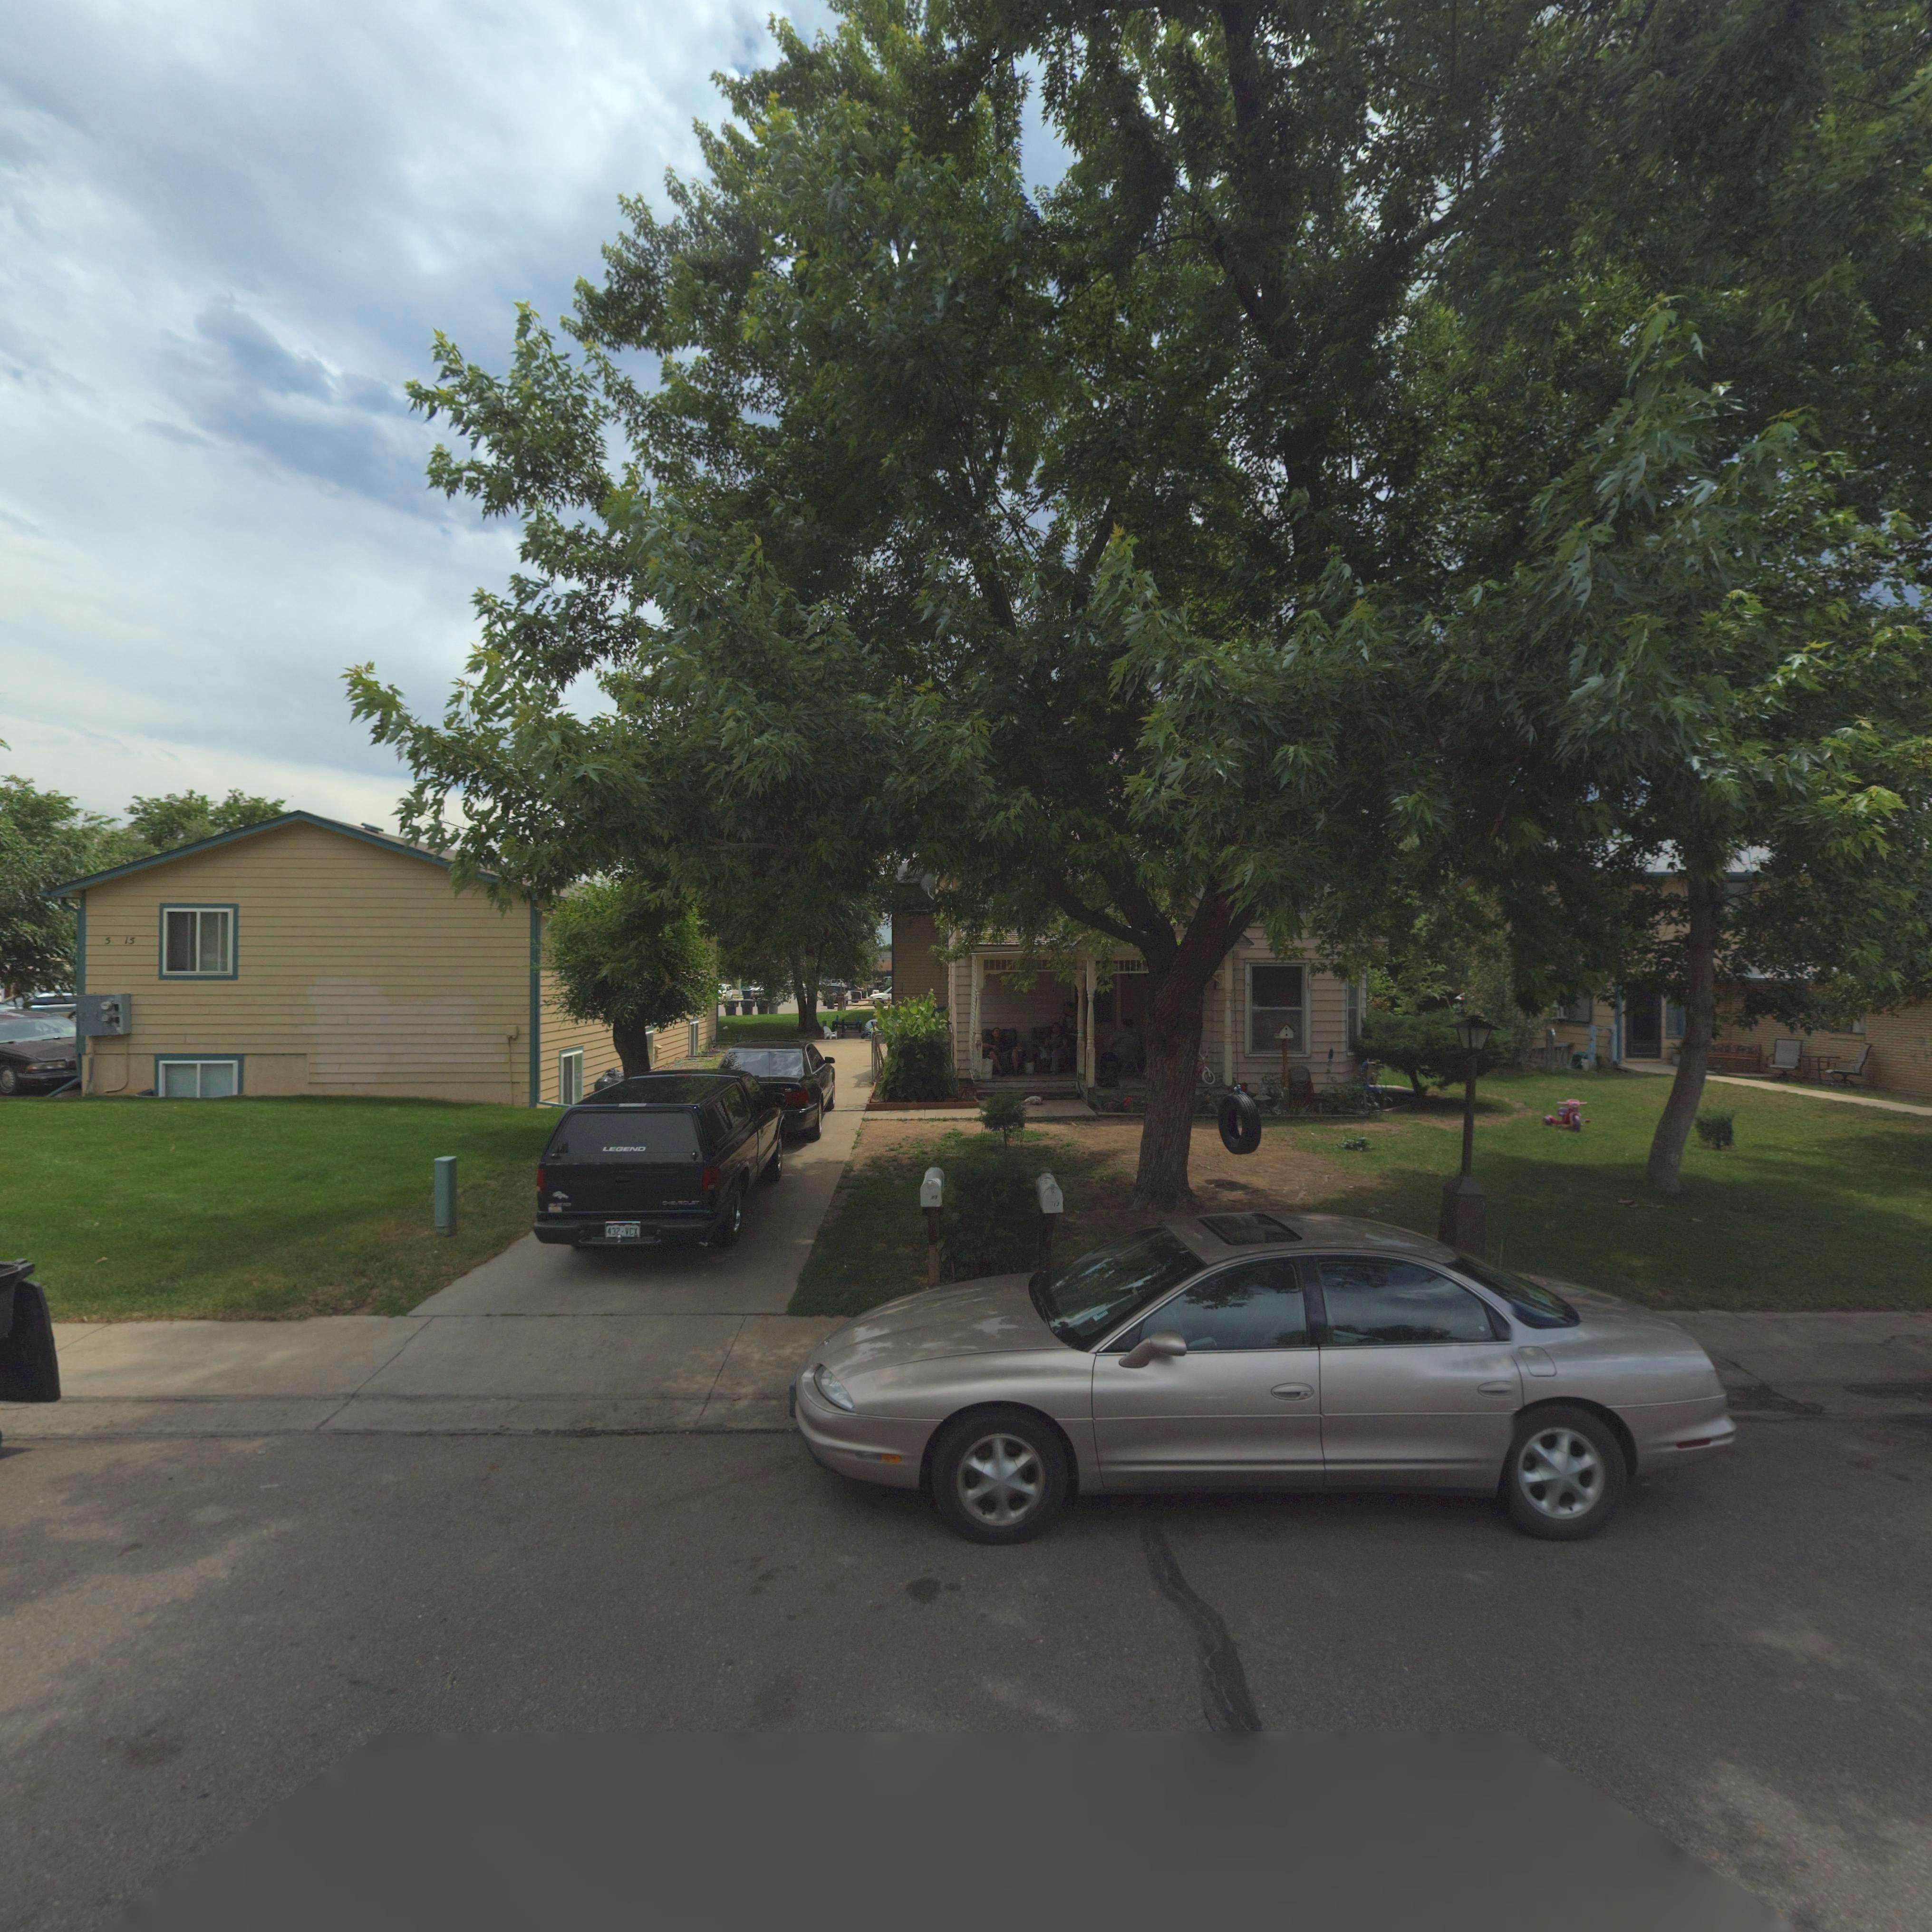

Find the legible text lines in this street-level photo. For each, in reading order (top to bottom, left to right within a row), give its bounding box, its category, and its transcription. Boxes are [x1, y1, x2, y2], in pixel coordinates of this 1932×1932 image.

[104, 936, 136, 946] StreetNumber: 5 15
[931, 1195, 938, 1199] StreetNumber: 1*
[1053, 1201, 1060, 1207] StreetNumber: 13